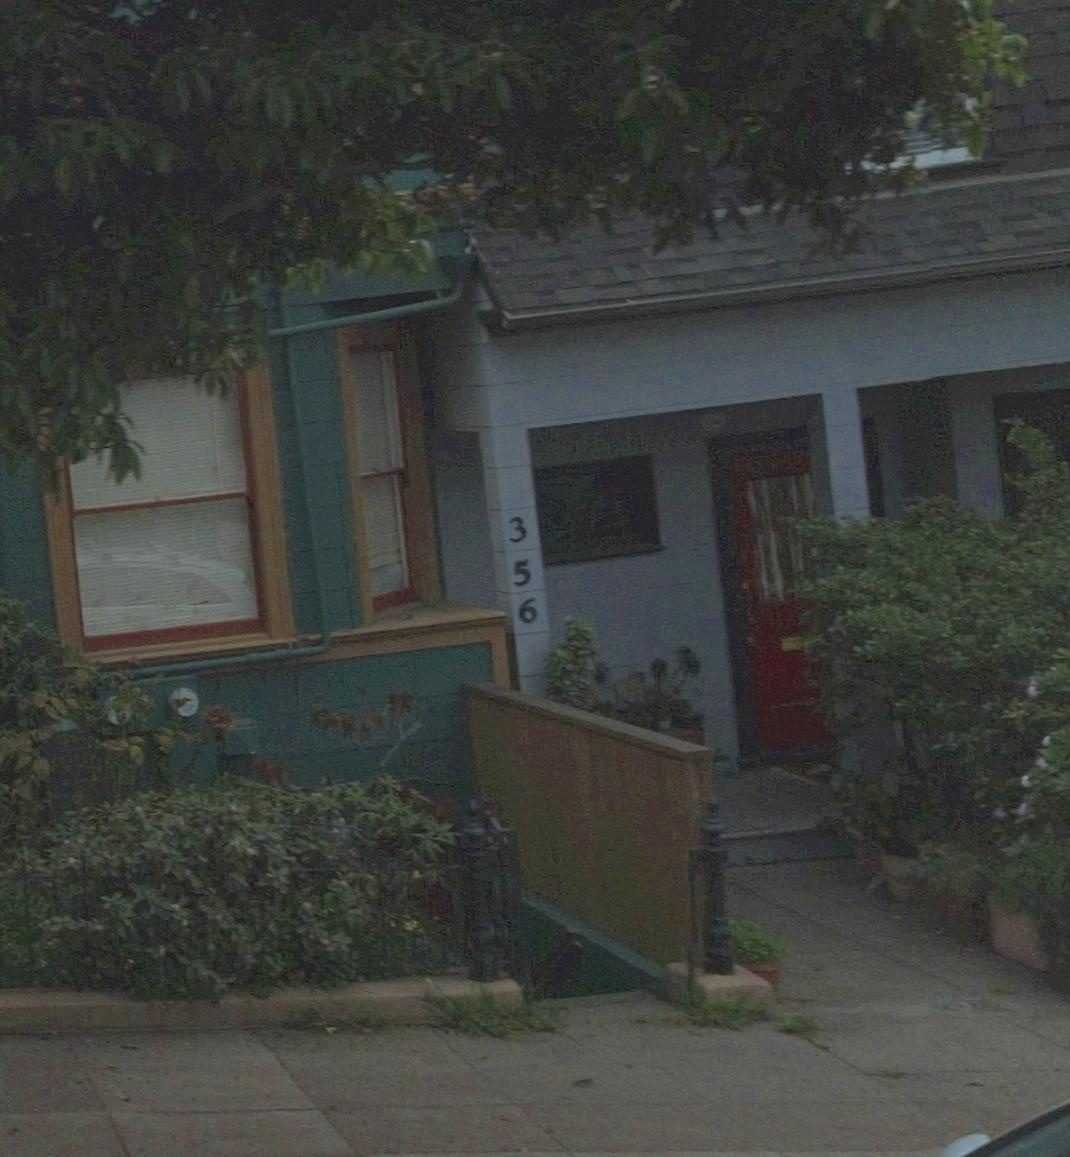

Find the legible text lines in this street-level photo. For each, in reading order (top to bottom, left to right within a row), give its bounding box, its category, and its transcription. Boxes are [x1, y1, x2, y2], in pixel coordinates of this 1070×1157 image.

[508, 515, 541, 625] StreetNumber: 356